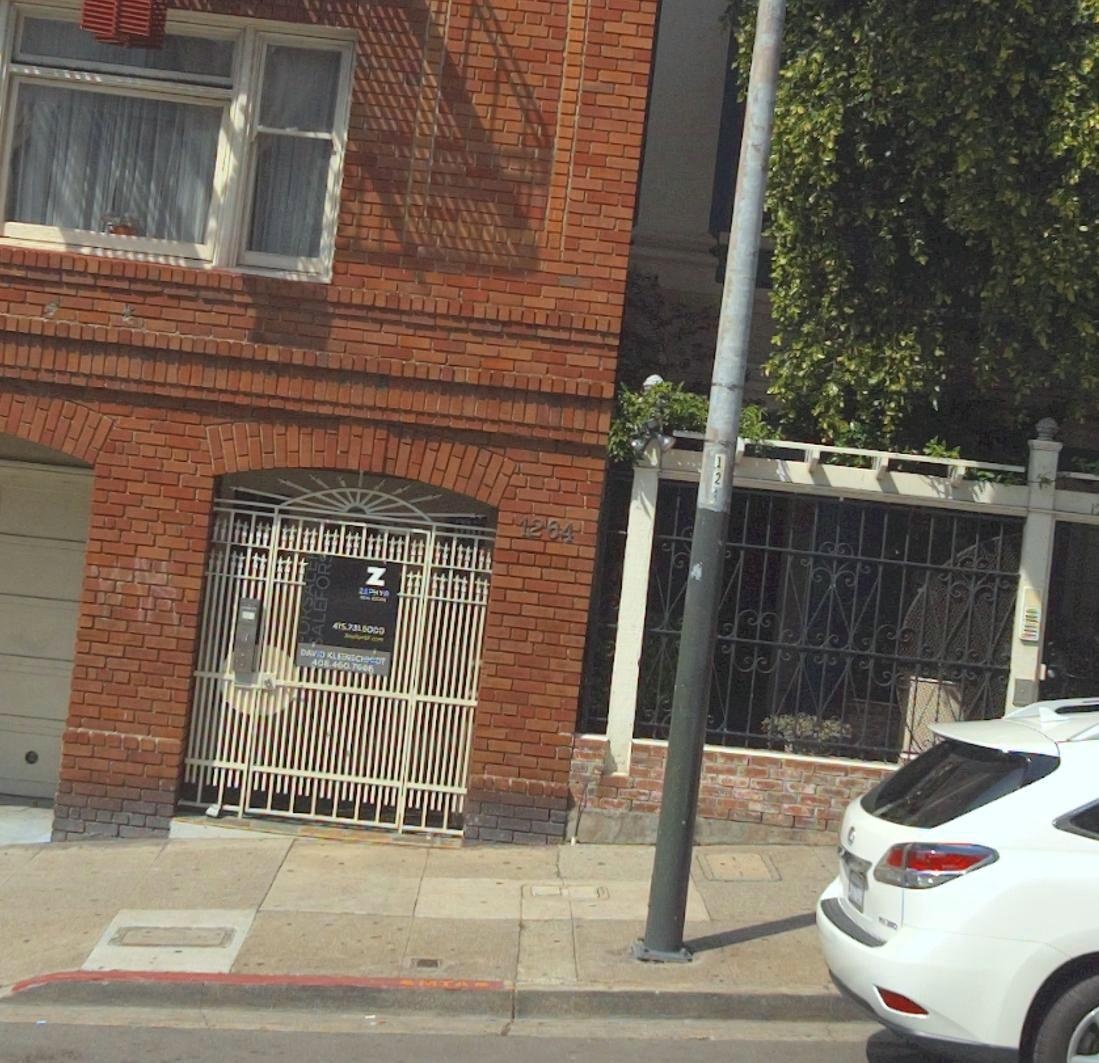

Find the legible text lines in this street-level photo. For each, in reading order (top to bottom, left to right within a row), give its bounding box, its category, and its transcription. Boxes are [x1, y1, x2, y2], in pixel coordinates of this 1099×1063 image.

[711, 454, 725, 487] None: 12
[519, 515, 577, 547] StreetNumber: 1264
[364, 564, 388, 588] None: Z
[308, 552, 334, 645] None: SALEFOR*
[332, 619, 387, 637] None: 415.731.*000
[299, 647, 387, 667] None: DAVID KLE**SC*HIDT